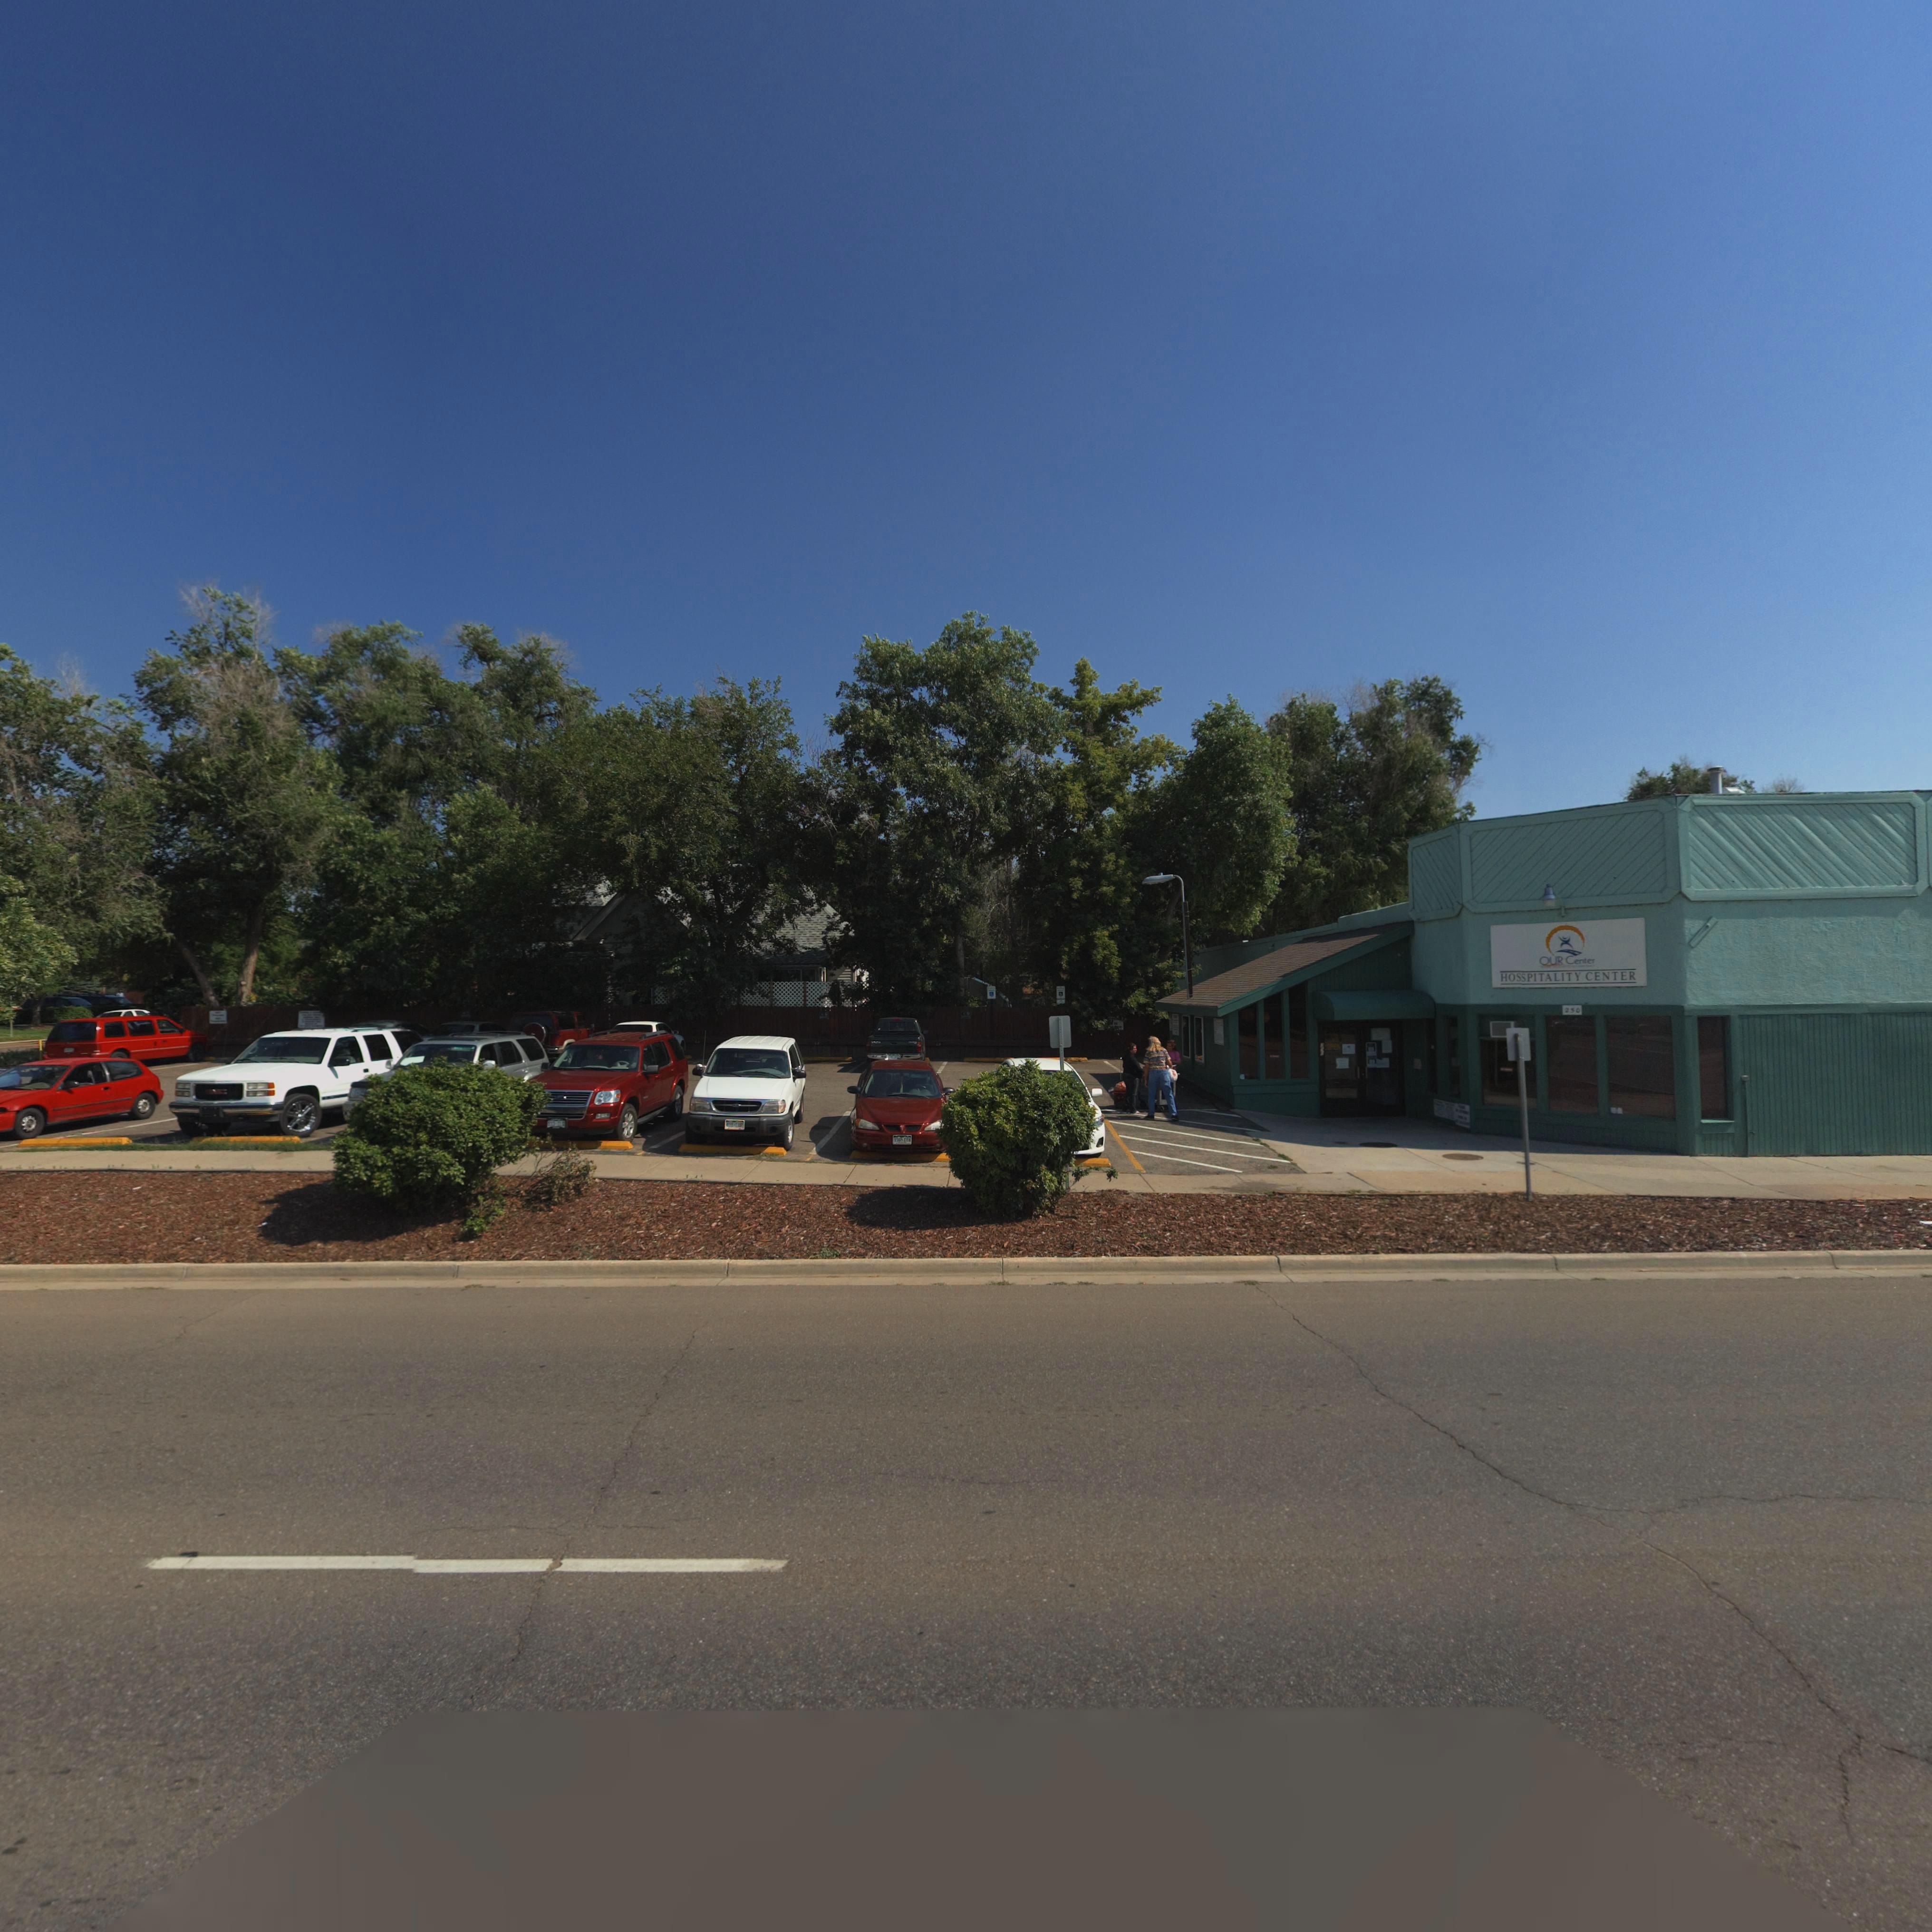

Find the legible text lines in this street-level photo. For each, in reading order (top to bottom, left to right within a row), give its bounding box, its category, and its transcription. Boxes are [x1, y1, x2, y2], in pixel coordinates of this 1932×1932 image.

[1538, 954, 1595, 966] BusinessName: OUR Center
[1564, 1006, 1580, 1014] StreetNumber: 250